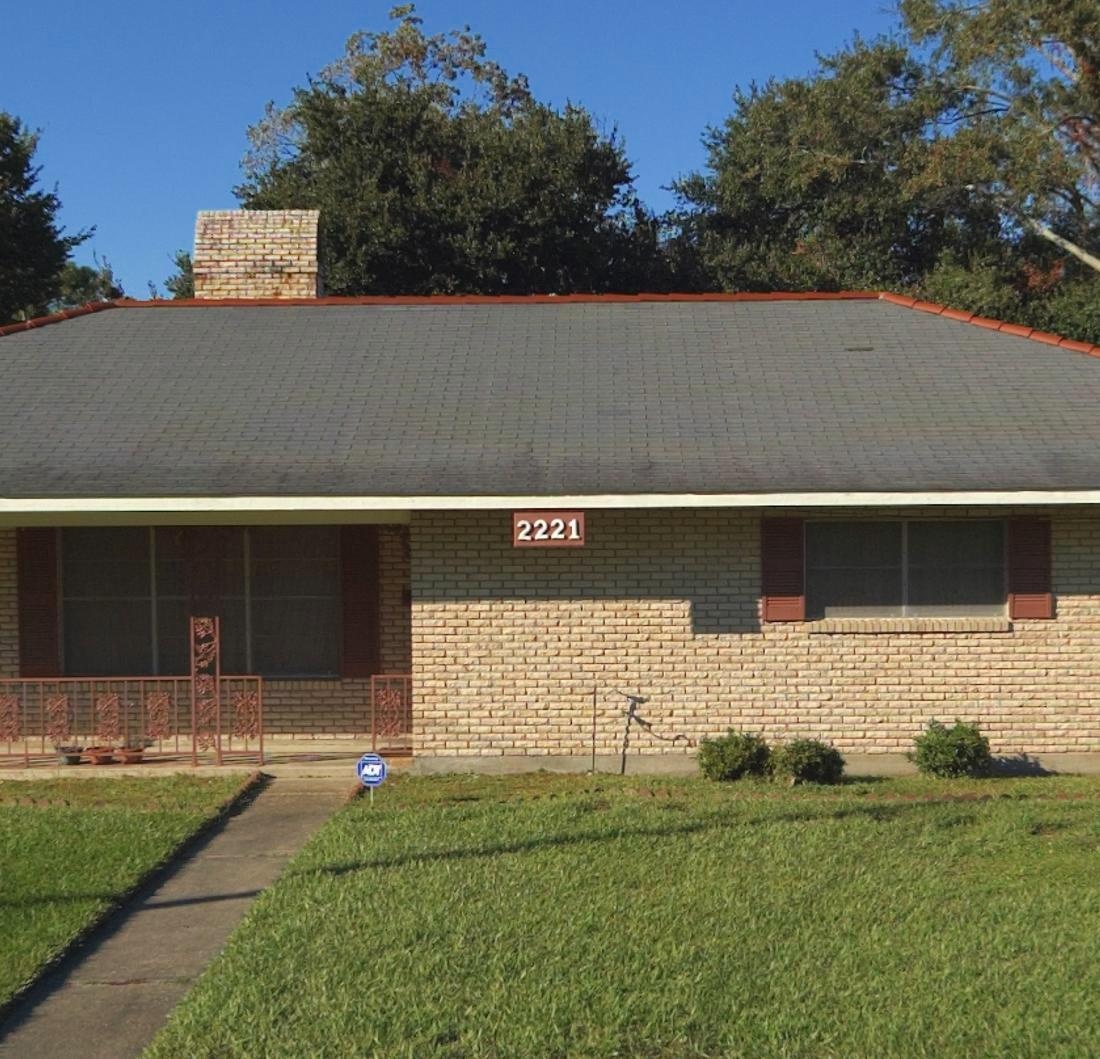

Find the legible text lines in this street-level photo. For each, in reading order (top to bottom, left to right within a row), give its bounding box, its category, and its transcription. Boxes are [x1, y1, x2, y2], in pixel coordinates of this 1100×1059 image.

[516, 518, 583, 541] StreetNumber: 2221
[358, 764, 383, 777] None: ADT